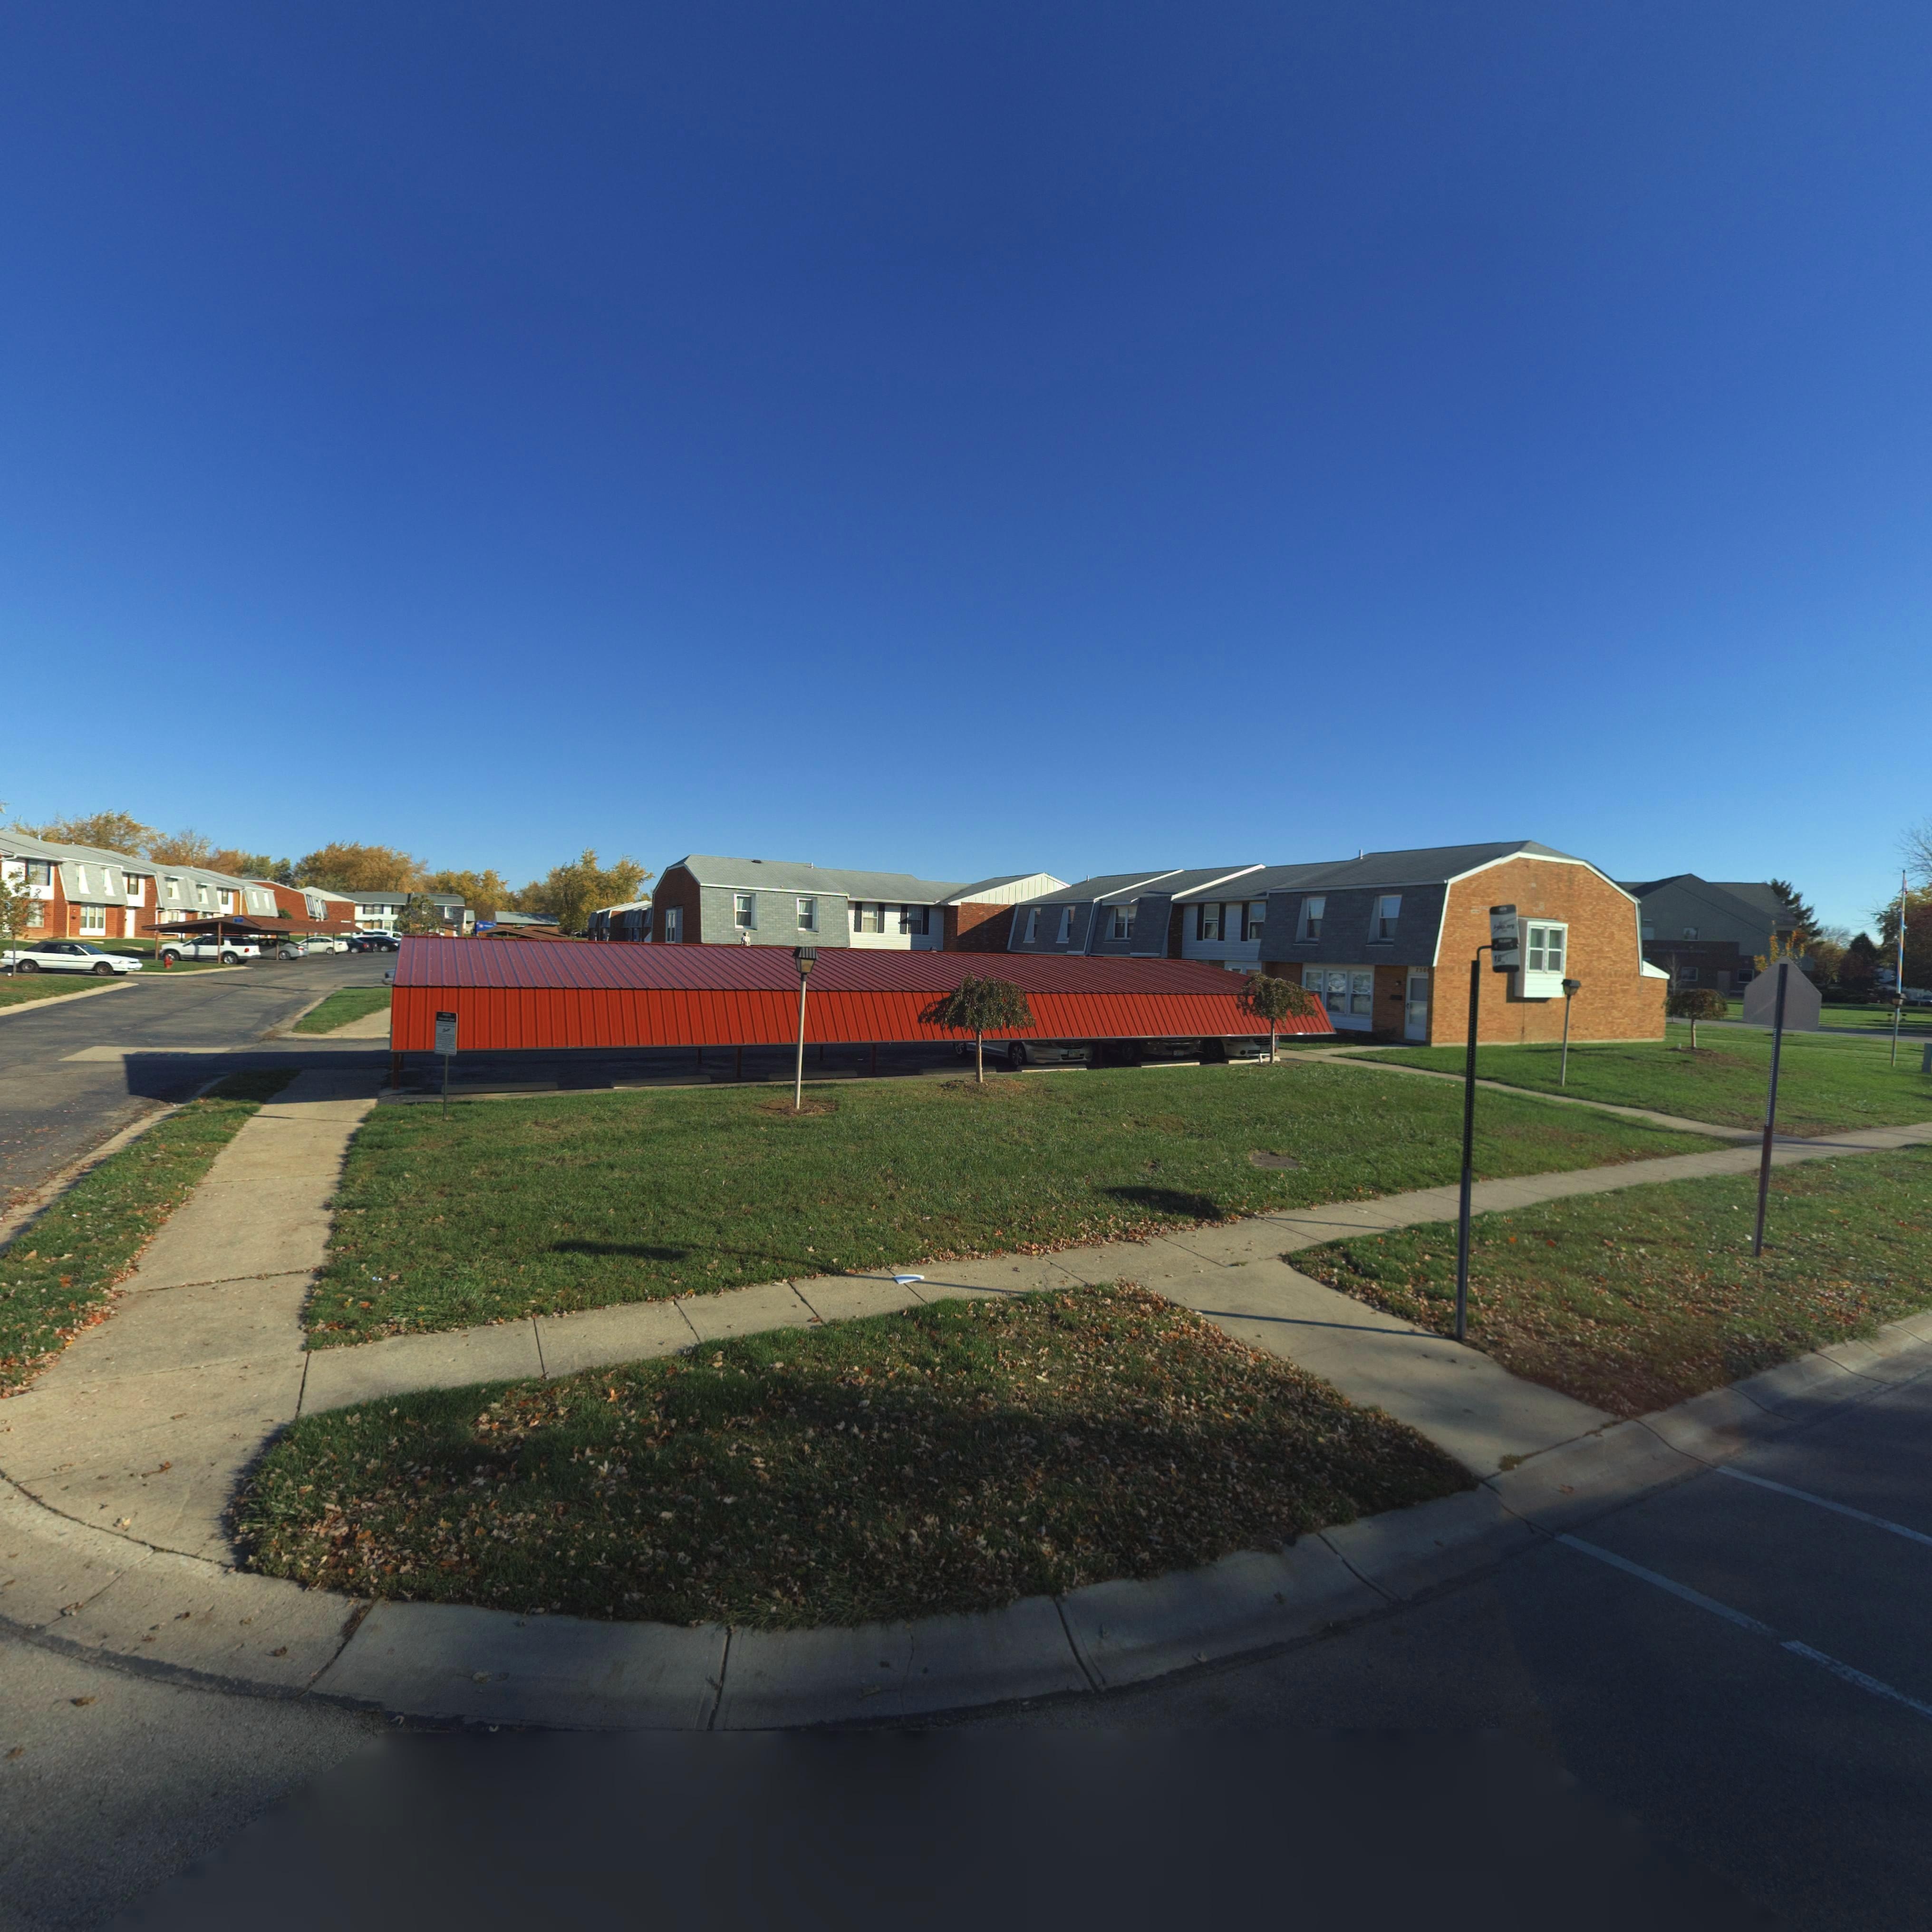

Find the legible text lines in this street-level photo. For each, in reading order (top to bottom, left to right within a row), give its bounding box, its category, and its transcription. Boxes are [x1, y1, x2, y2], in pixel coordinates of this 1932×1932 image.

[1415, 967, 1427, 973] StreetNumber: 750